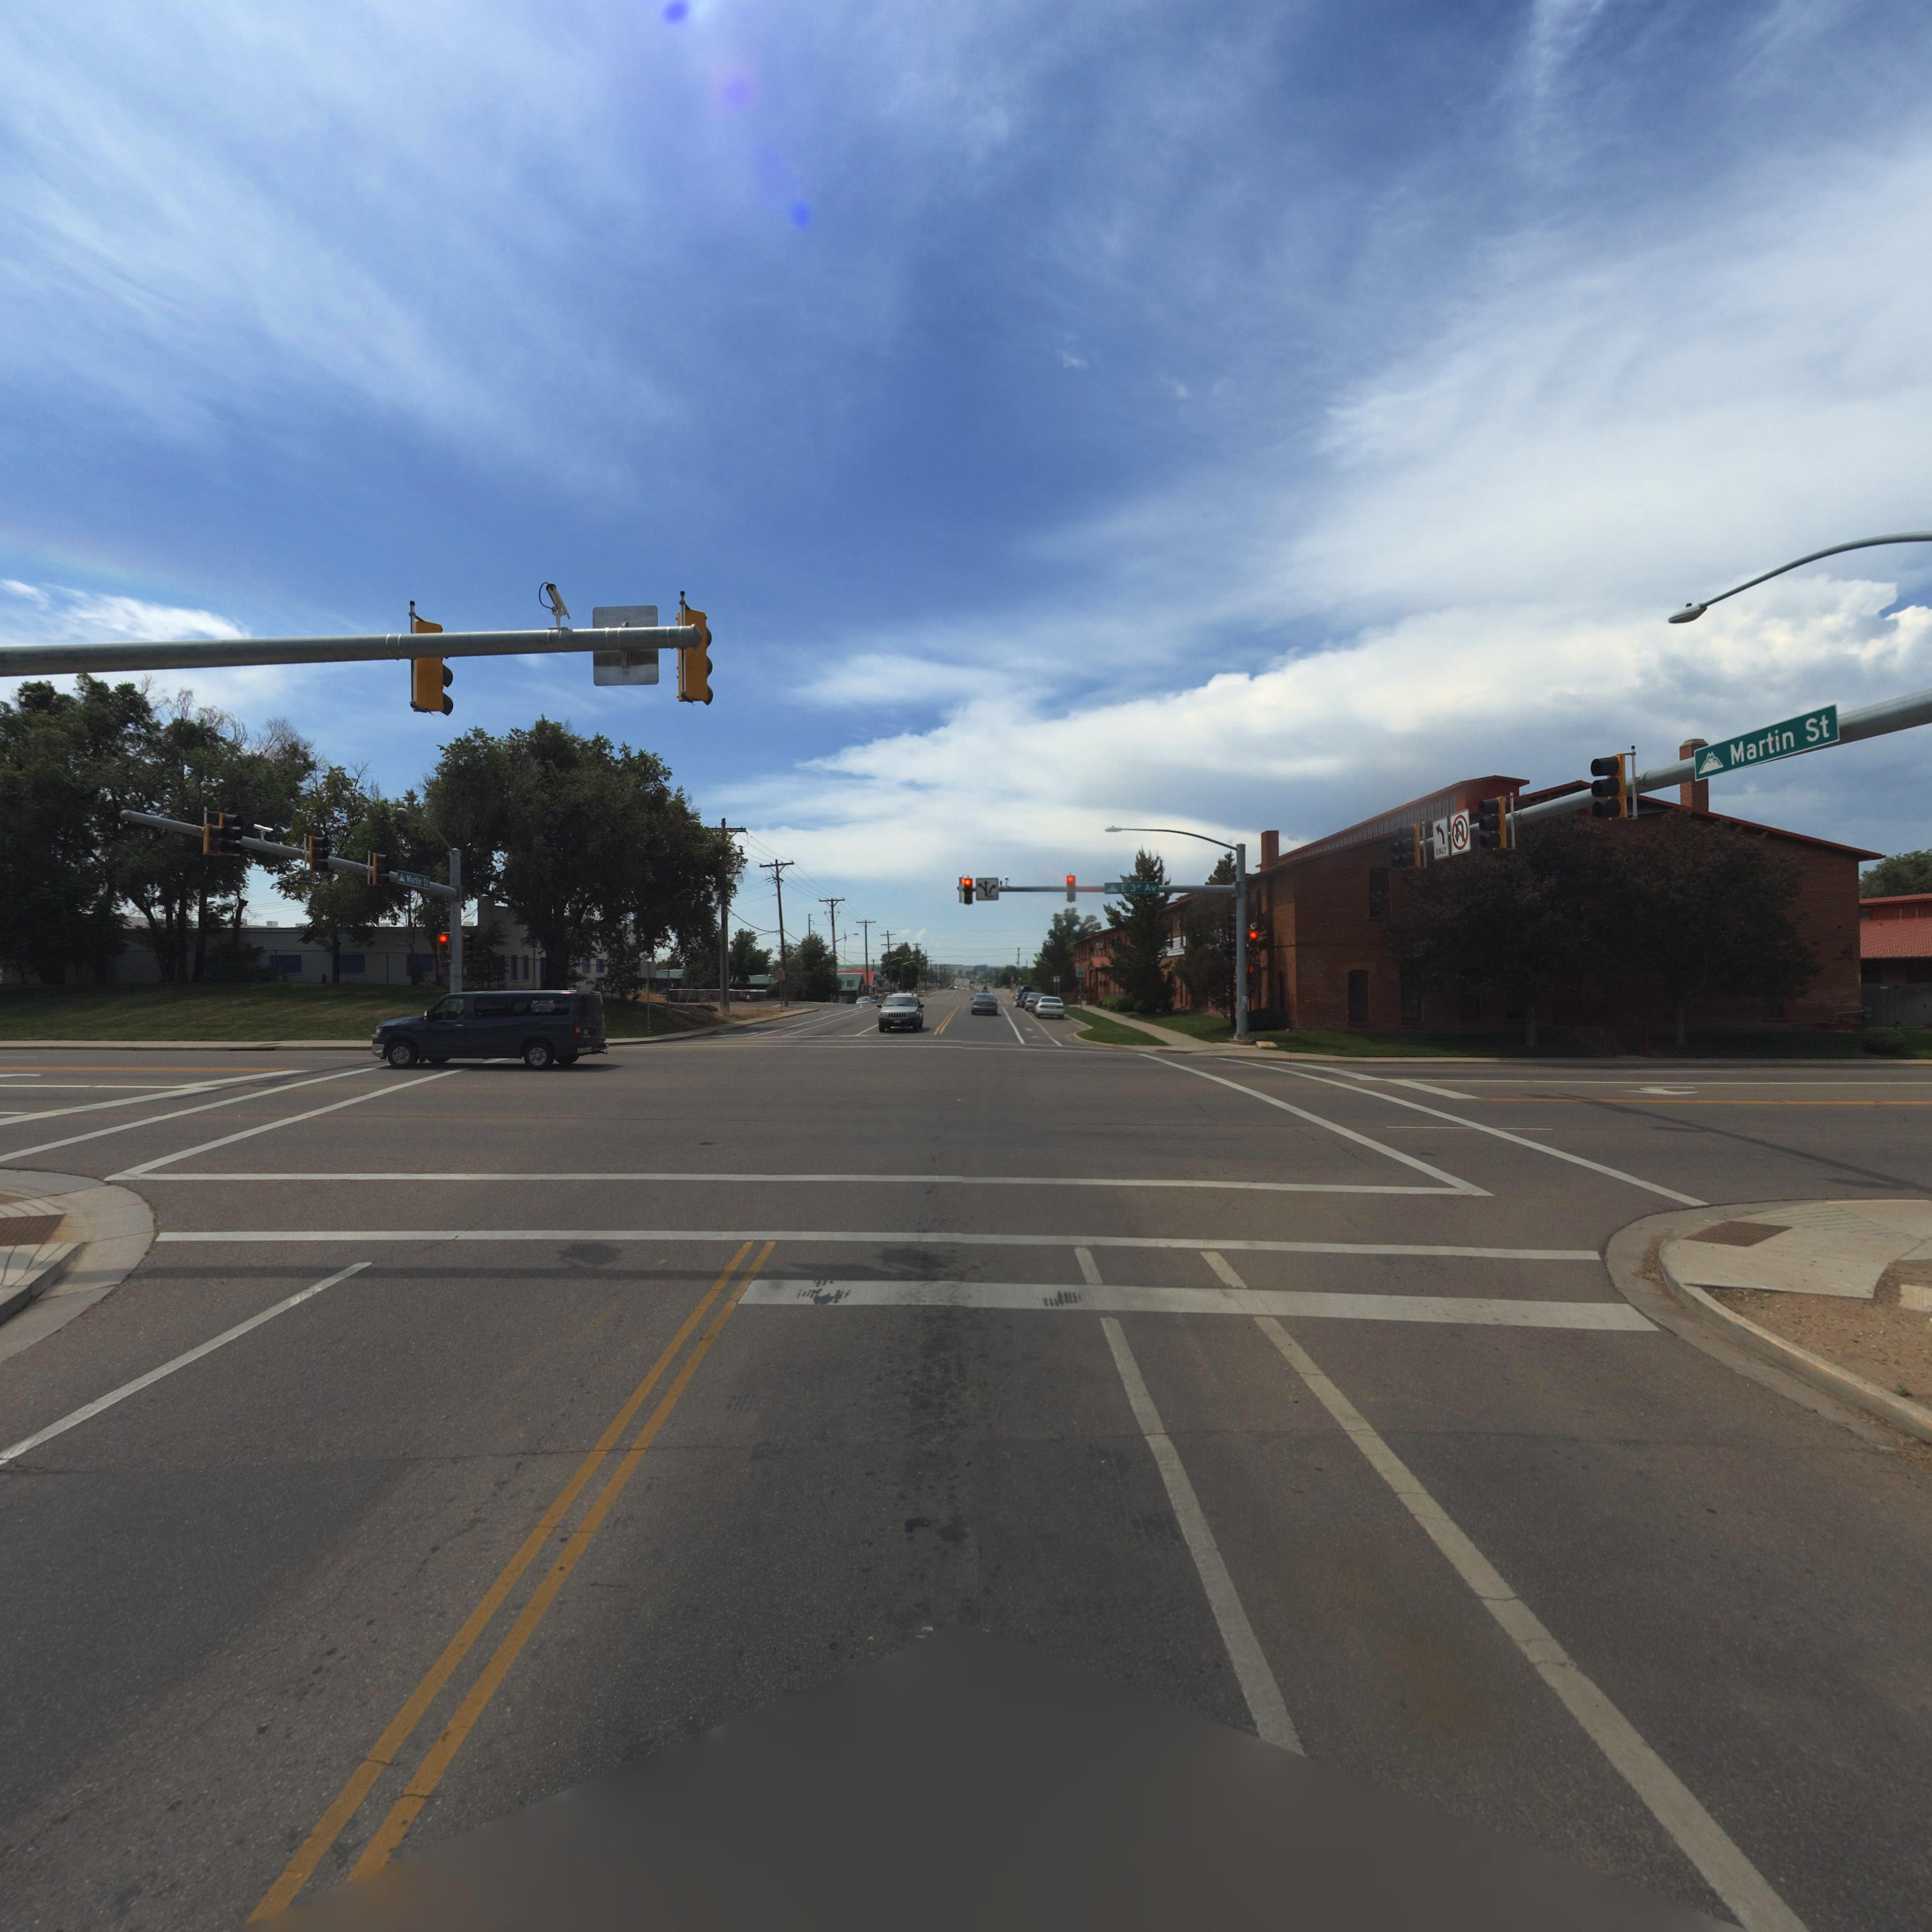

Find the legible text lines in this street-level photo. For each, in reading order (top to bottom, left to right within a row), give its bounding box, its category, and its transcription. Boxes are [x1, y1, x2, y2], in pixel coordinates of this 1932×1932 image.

[1726, 714, 1832, 764] StreetName: Martin St
[403, 873, 429, 888] StreetName: Martin St
[1118, 882, 1158, 893] StreetName: E 3rd Av